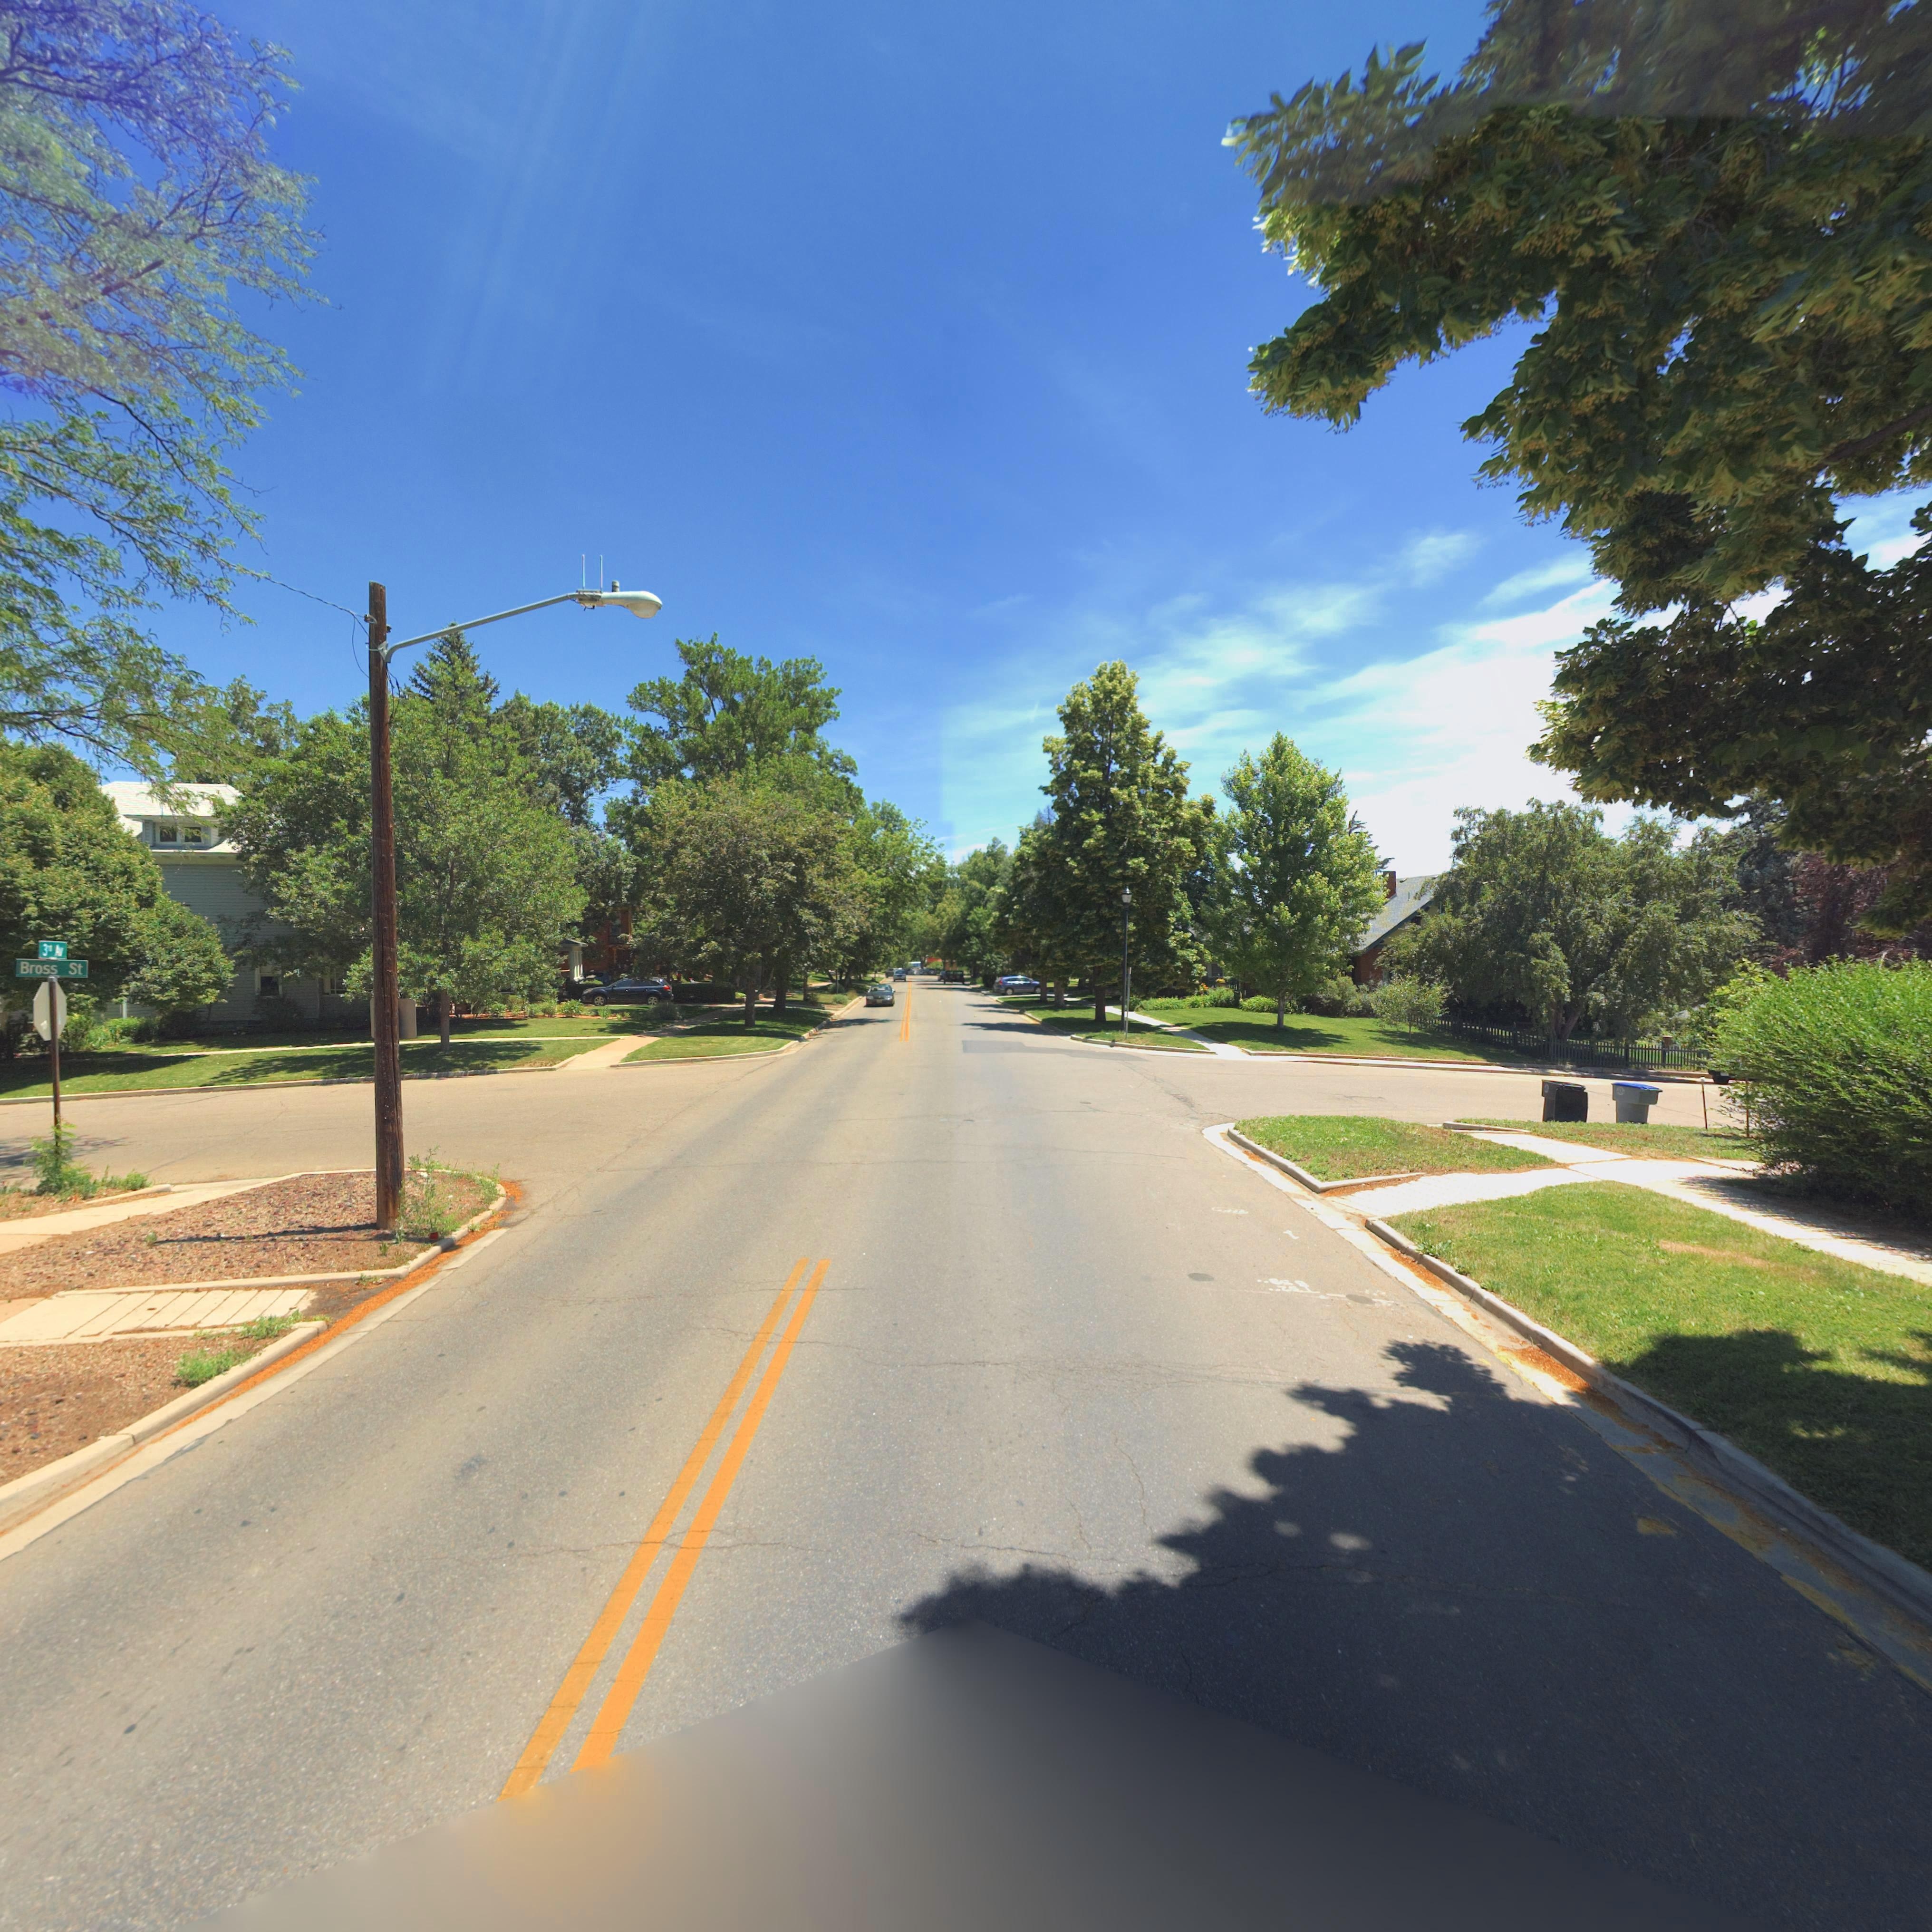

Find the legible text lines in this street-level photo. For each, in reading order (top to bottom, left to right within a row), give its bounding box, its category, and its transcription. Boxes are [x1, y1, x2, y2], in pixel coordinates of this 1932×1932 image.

[42, 943, 64, 956] StreetName: 3** Av
[19, 961, 83, 975] StreetName: Bross St